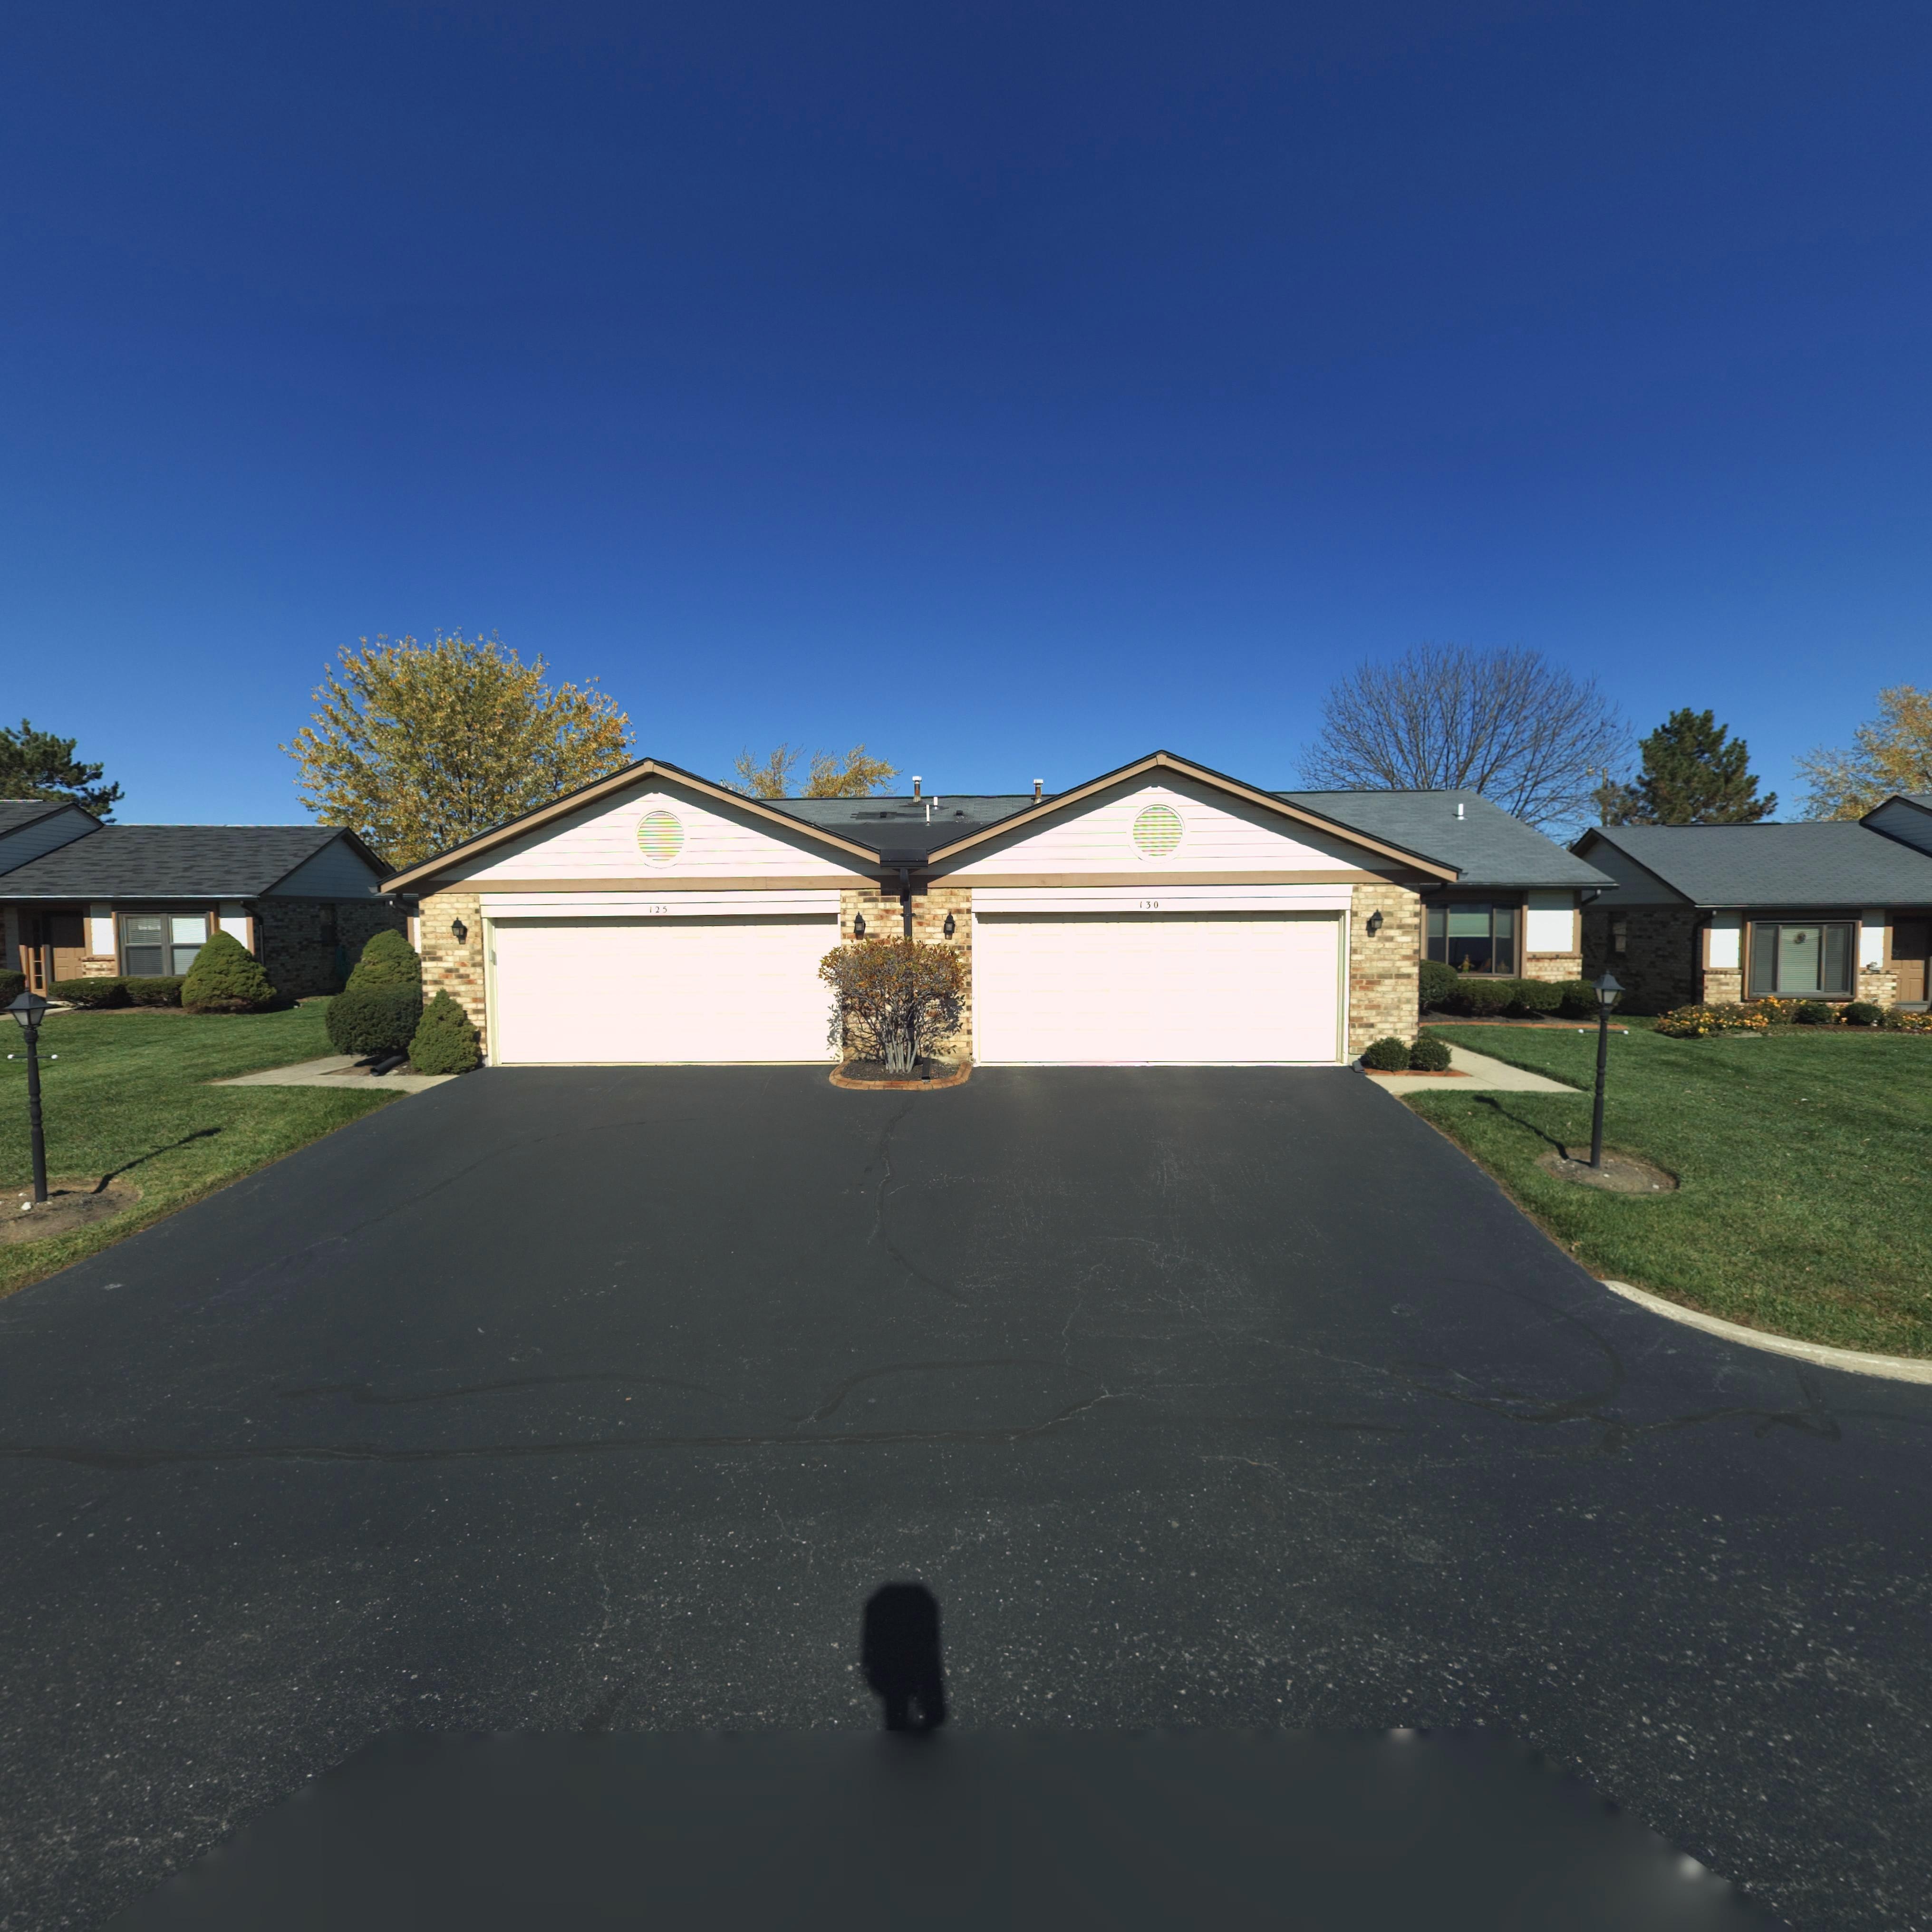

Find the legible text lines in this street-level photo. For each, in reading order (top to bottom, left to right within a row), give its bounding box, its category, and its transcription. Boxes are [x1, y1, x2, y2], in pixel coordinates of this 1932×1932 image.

[1139, 900, 1159, 909] StreetNumber: 130
[648, 905, 668, 914] StreetNumber: 125